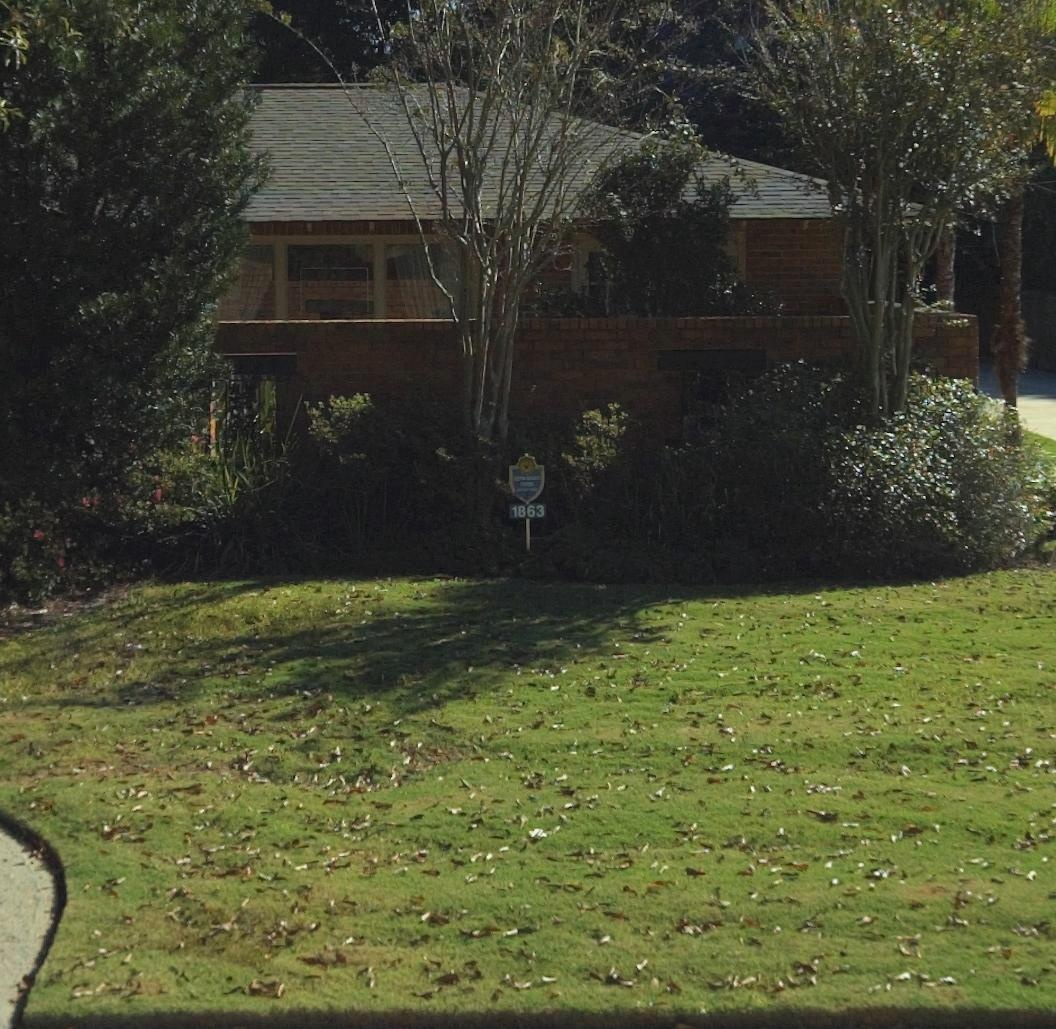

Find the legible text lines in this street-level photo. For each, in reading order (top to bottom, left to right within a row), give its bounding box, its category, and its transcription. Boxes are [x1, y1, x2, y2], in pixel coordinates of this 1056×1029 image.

[510, 503, 546, 519] StreetNumber: 1863